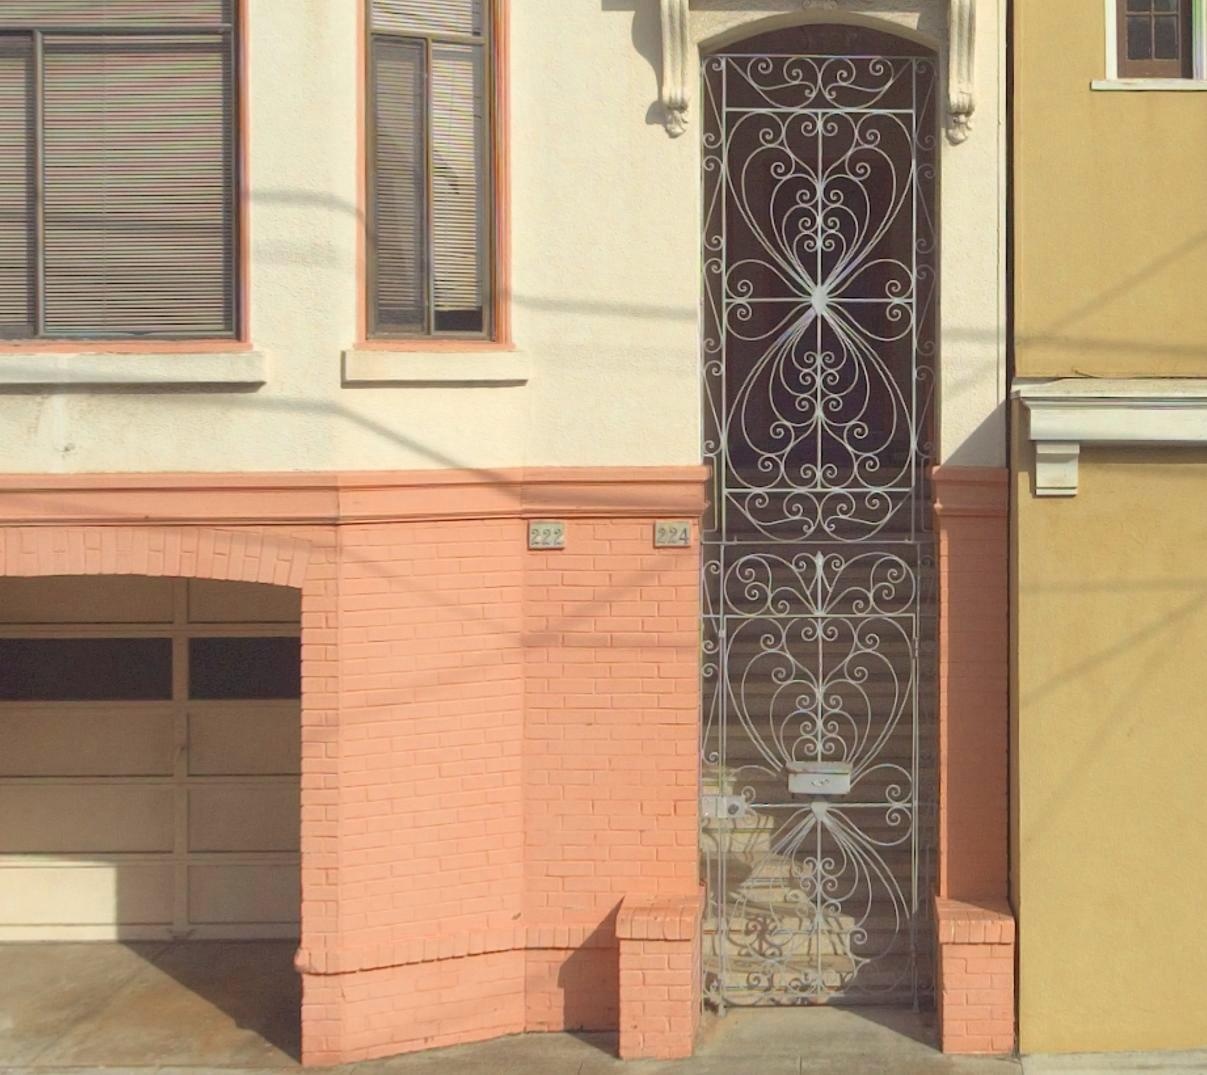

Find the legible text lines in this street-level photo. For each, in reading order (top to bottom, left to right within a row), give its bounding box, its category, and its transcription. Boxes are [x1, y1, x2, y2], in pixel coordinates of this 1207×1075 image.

[530, 527, 565, 546] StreetNumber: 222
[655, 525, 690, 545] StreetNumber: 224